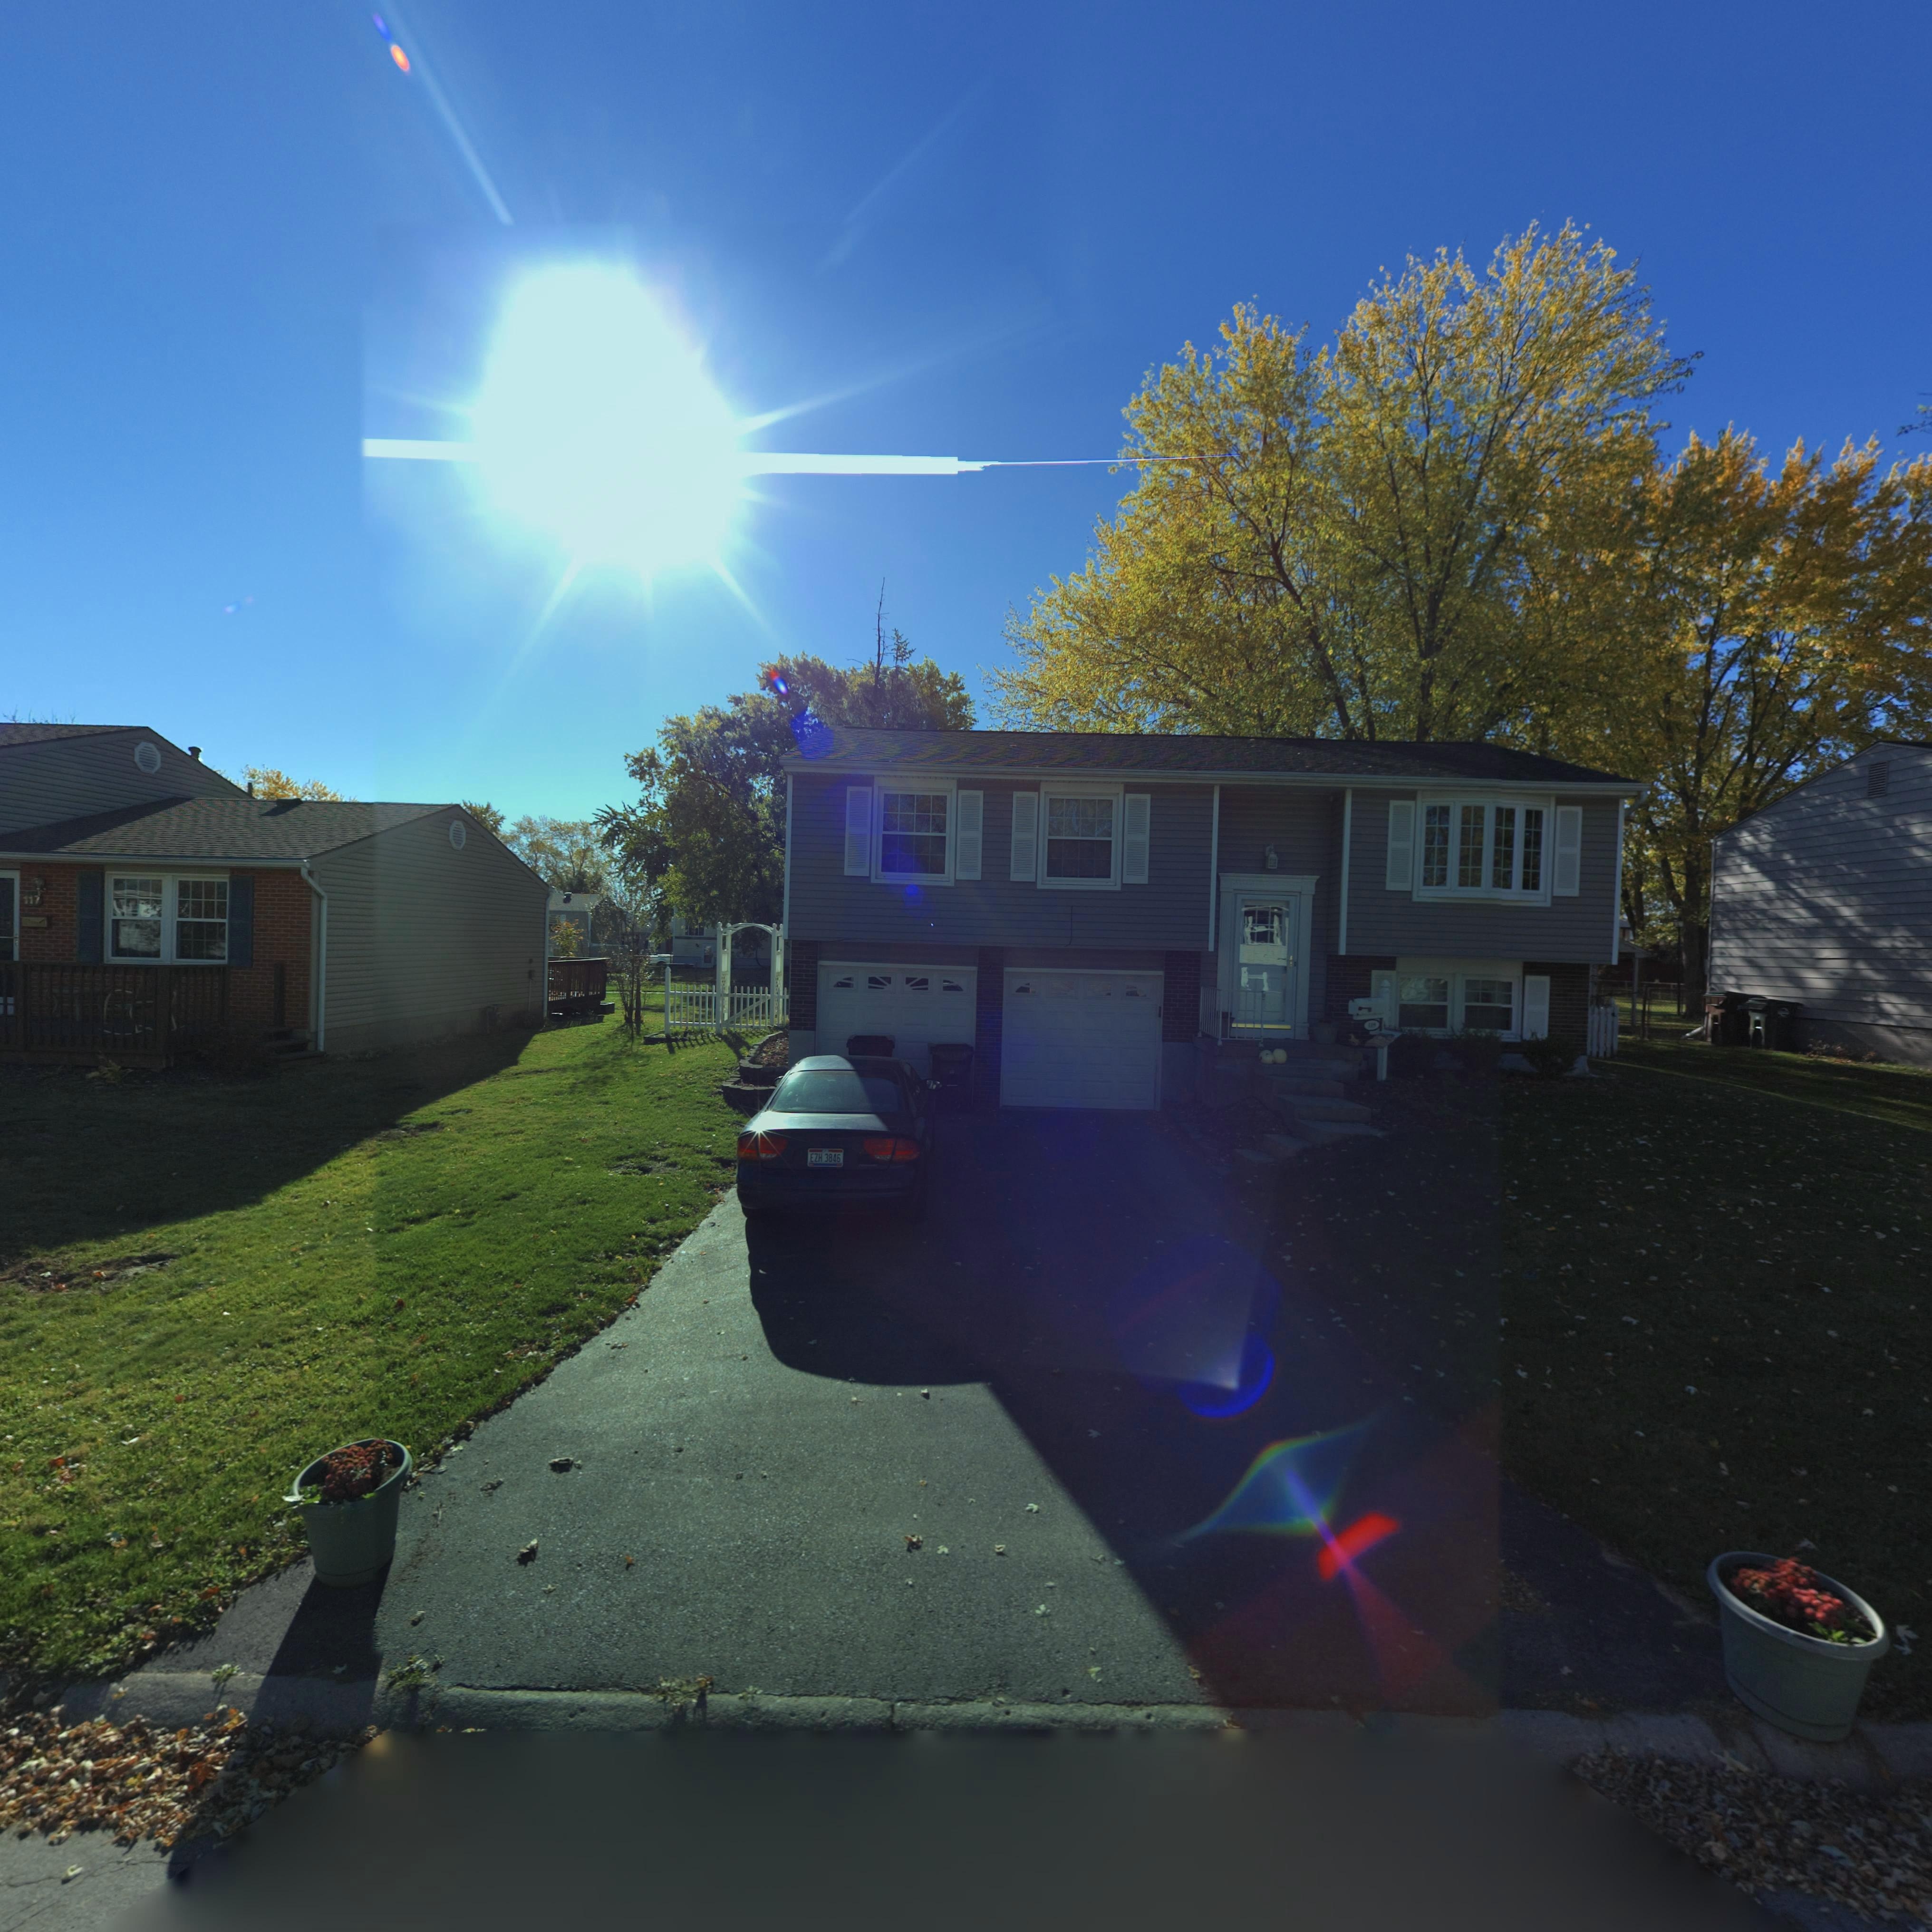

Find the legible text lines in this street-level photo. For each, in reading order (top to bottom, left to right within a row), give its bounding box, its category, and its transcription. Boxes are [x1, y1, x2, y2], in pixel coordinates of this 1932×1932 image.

[22, 895, 41, 905] StreetNumber: 117
[1367, 1022, 1377, 1028] StreetNumber: 119